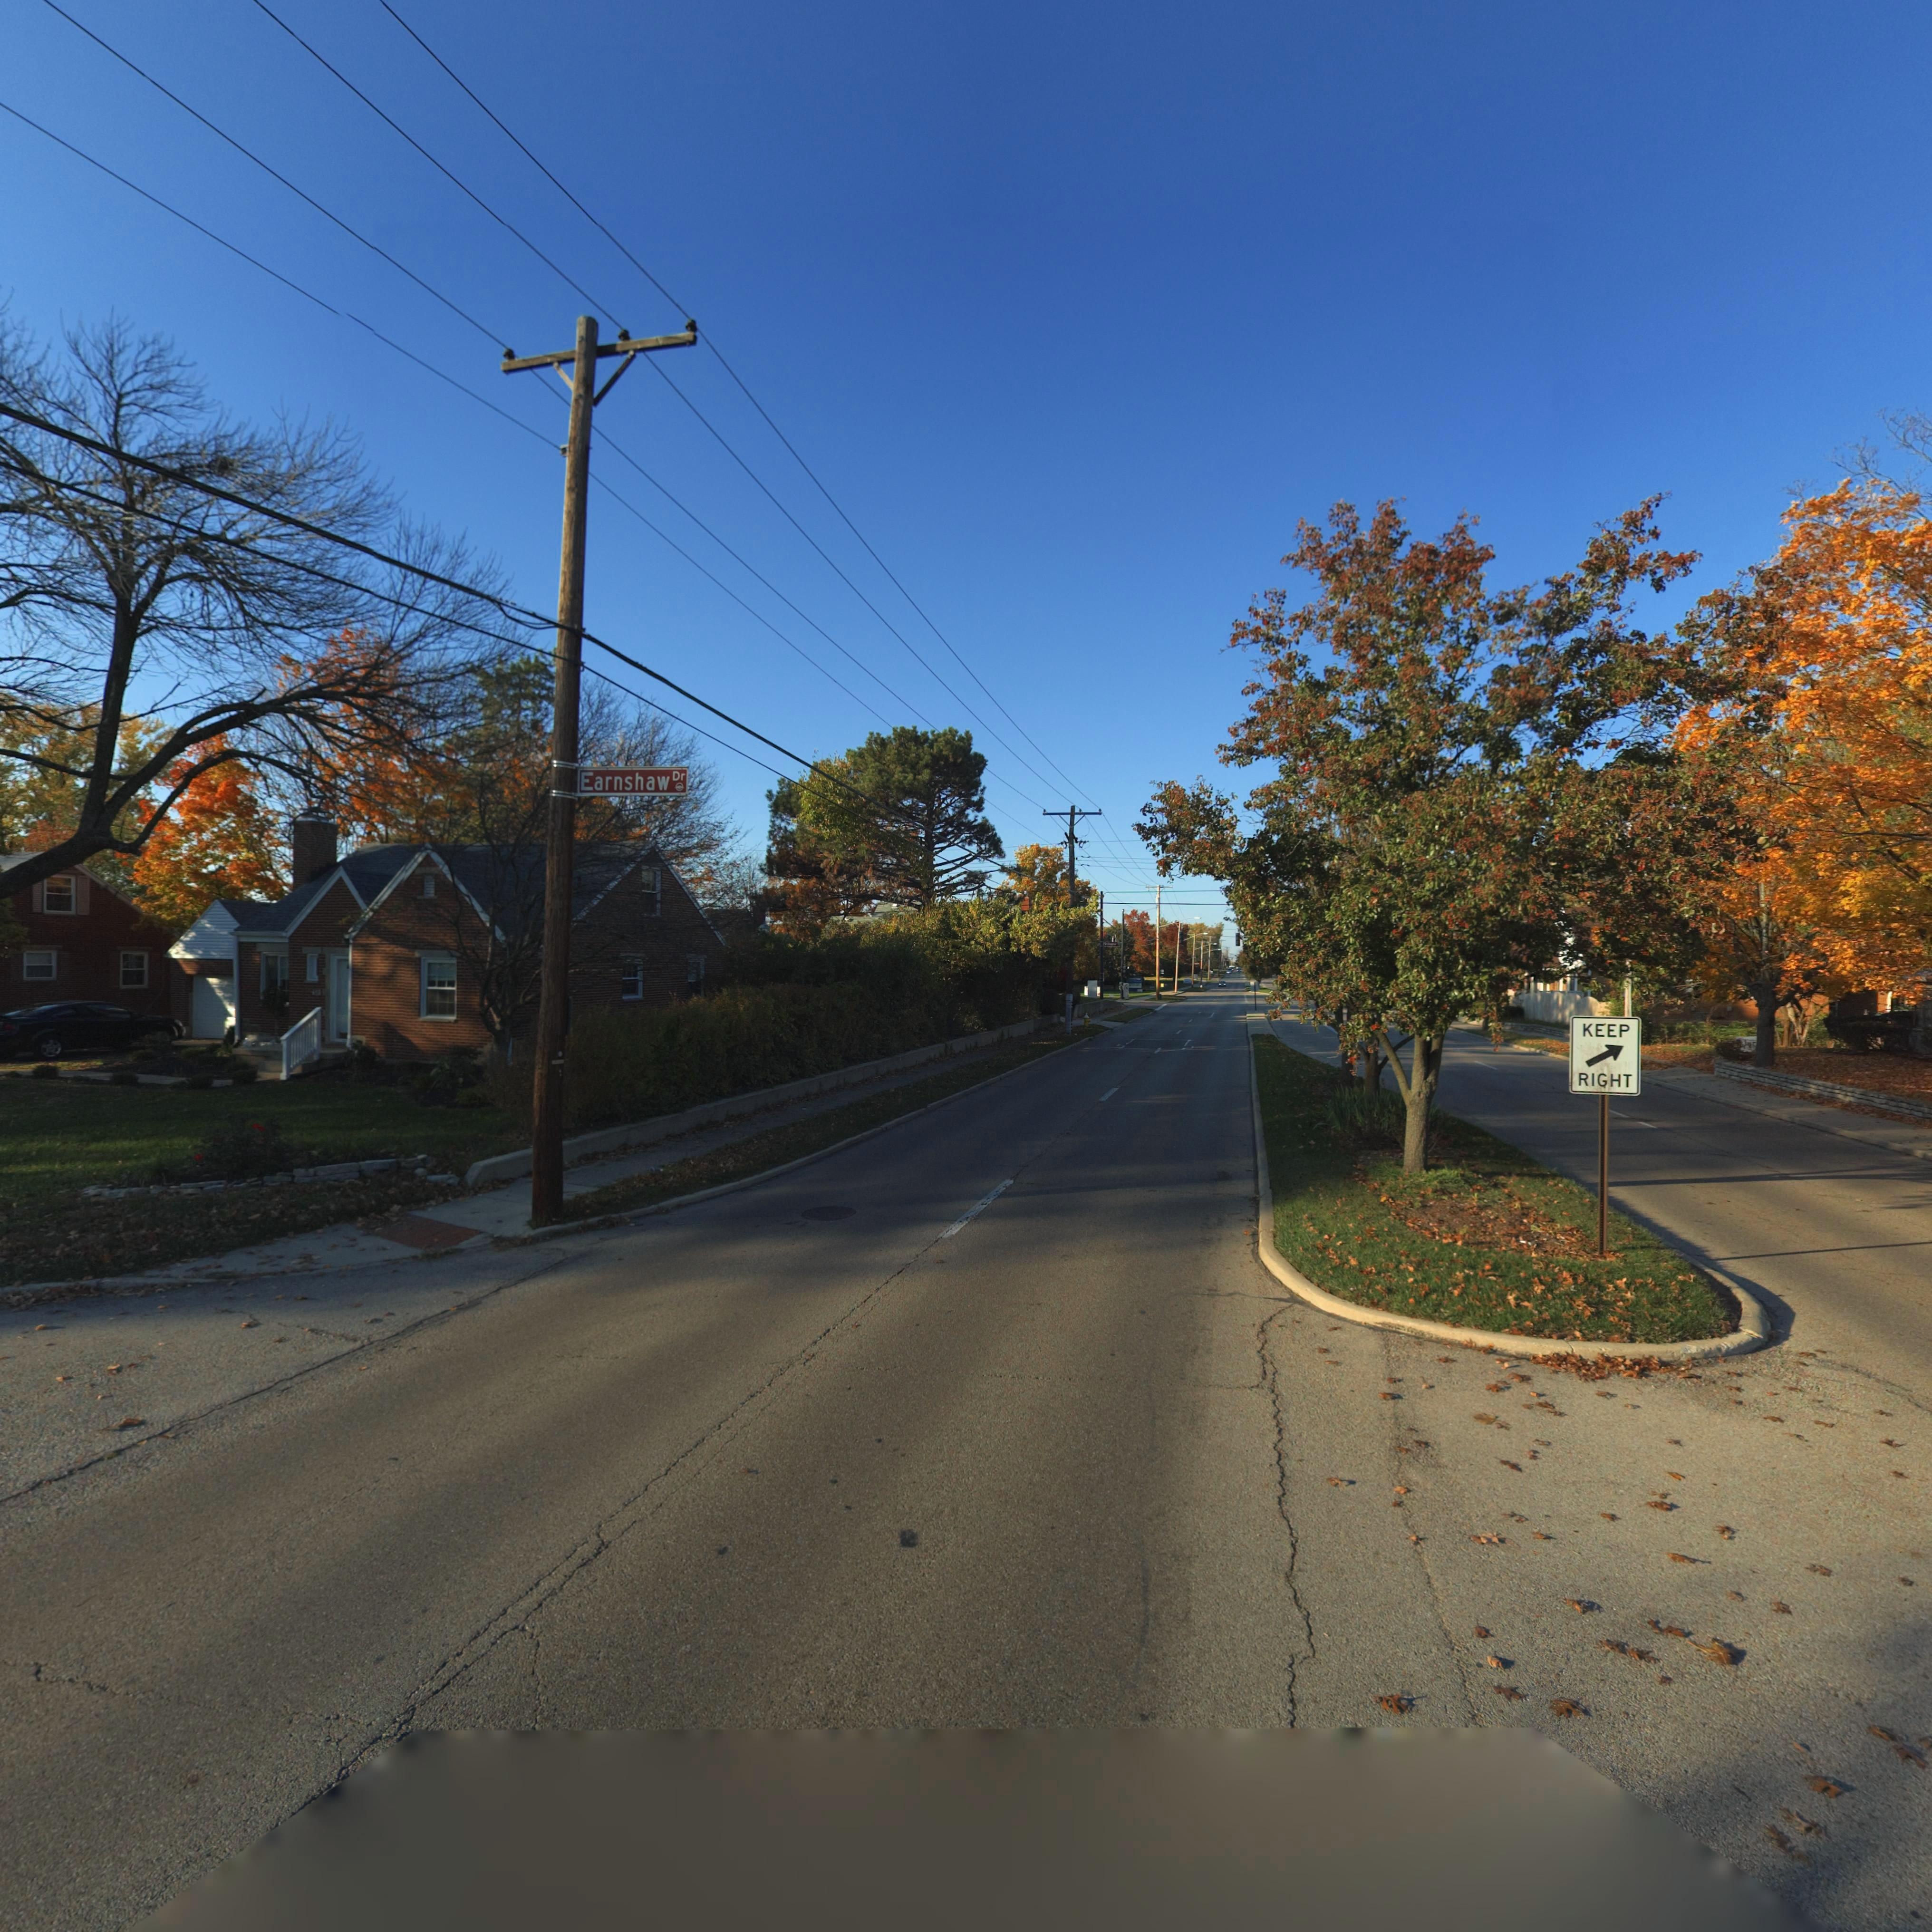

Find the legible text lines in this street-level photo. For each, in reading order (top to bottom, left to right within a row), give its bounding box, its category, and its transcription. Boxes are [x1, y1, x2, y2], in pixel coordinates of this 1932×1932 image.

[579, 770, 686, 792] StreetName: Earnshaw Dr
[311, 989, 321, 995] StreetNumber: **3